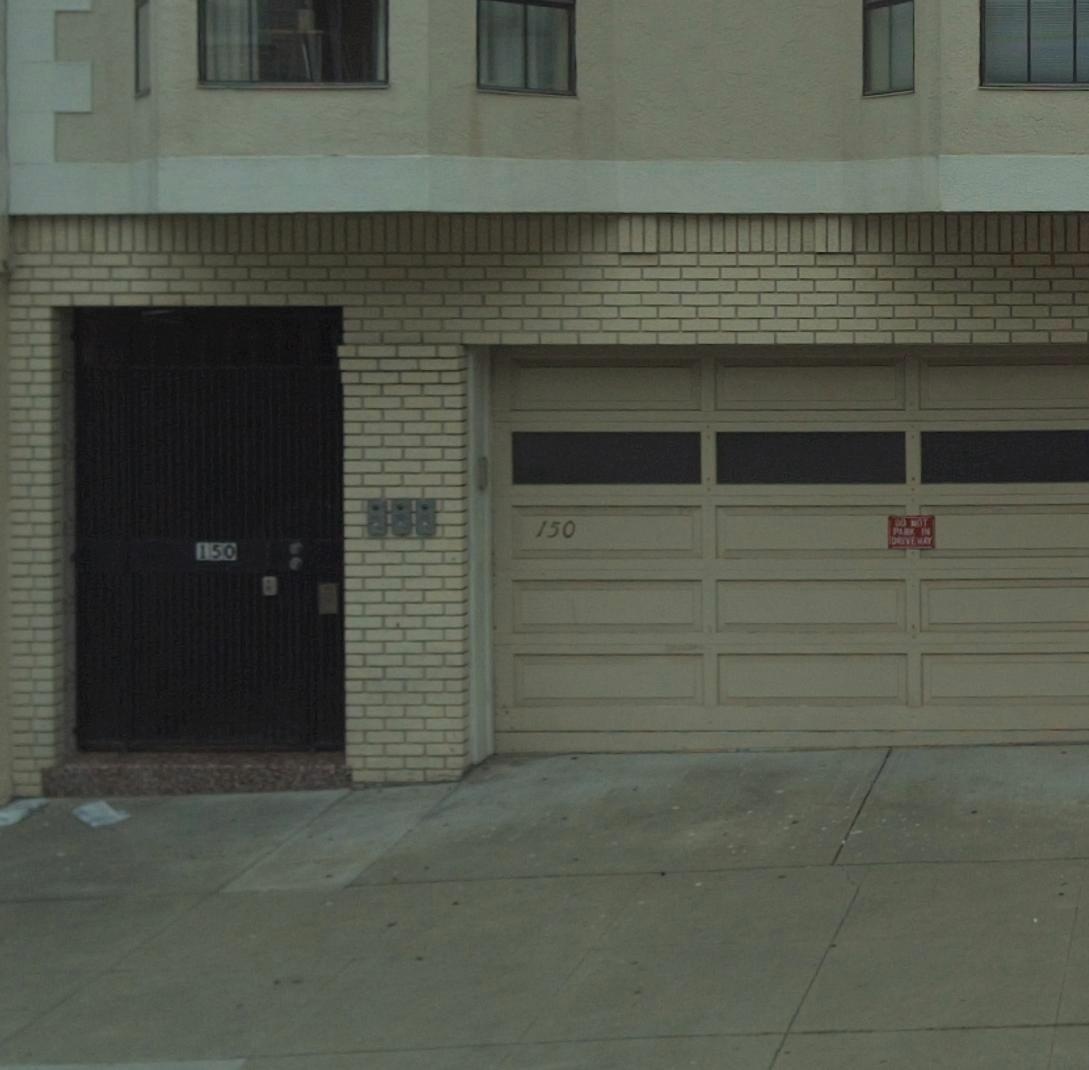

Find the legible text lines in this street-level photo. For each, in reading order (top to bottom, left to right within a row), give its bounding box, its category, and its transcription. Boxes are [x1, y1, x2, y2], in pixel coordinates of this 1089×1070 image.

[894, 517, 929, 527] None: DO NOT
[533, 518, 577, 539] StreetNumber: 150
[892, 527, 932, 536] None: PARK IN
[889, 535, 933, 546] None: DRIVEWAY
[197, 542, 238, 560] StreetNumber: 150